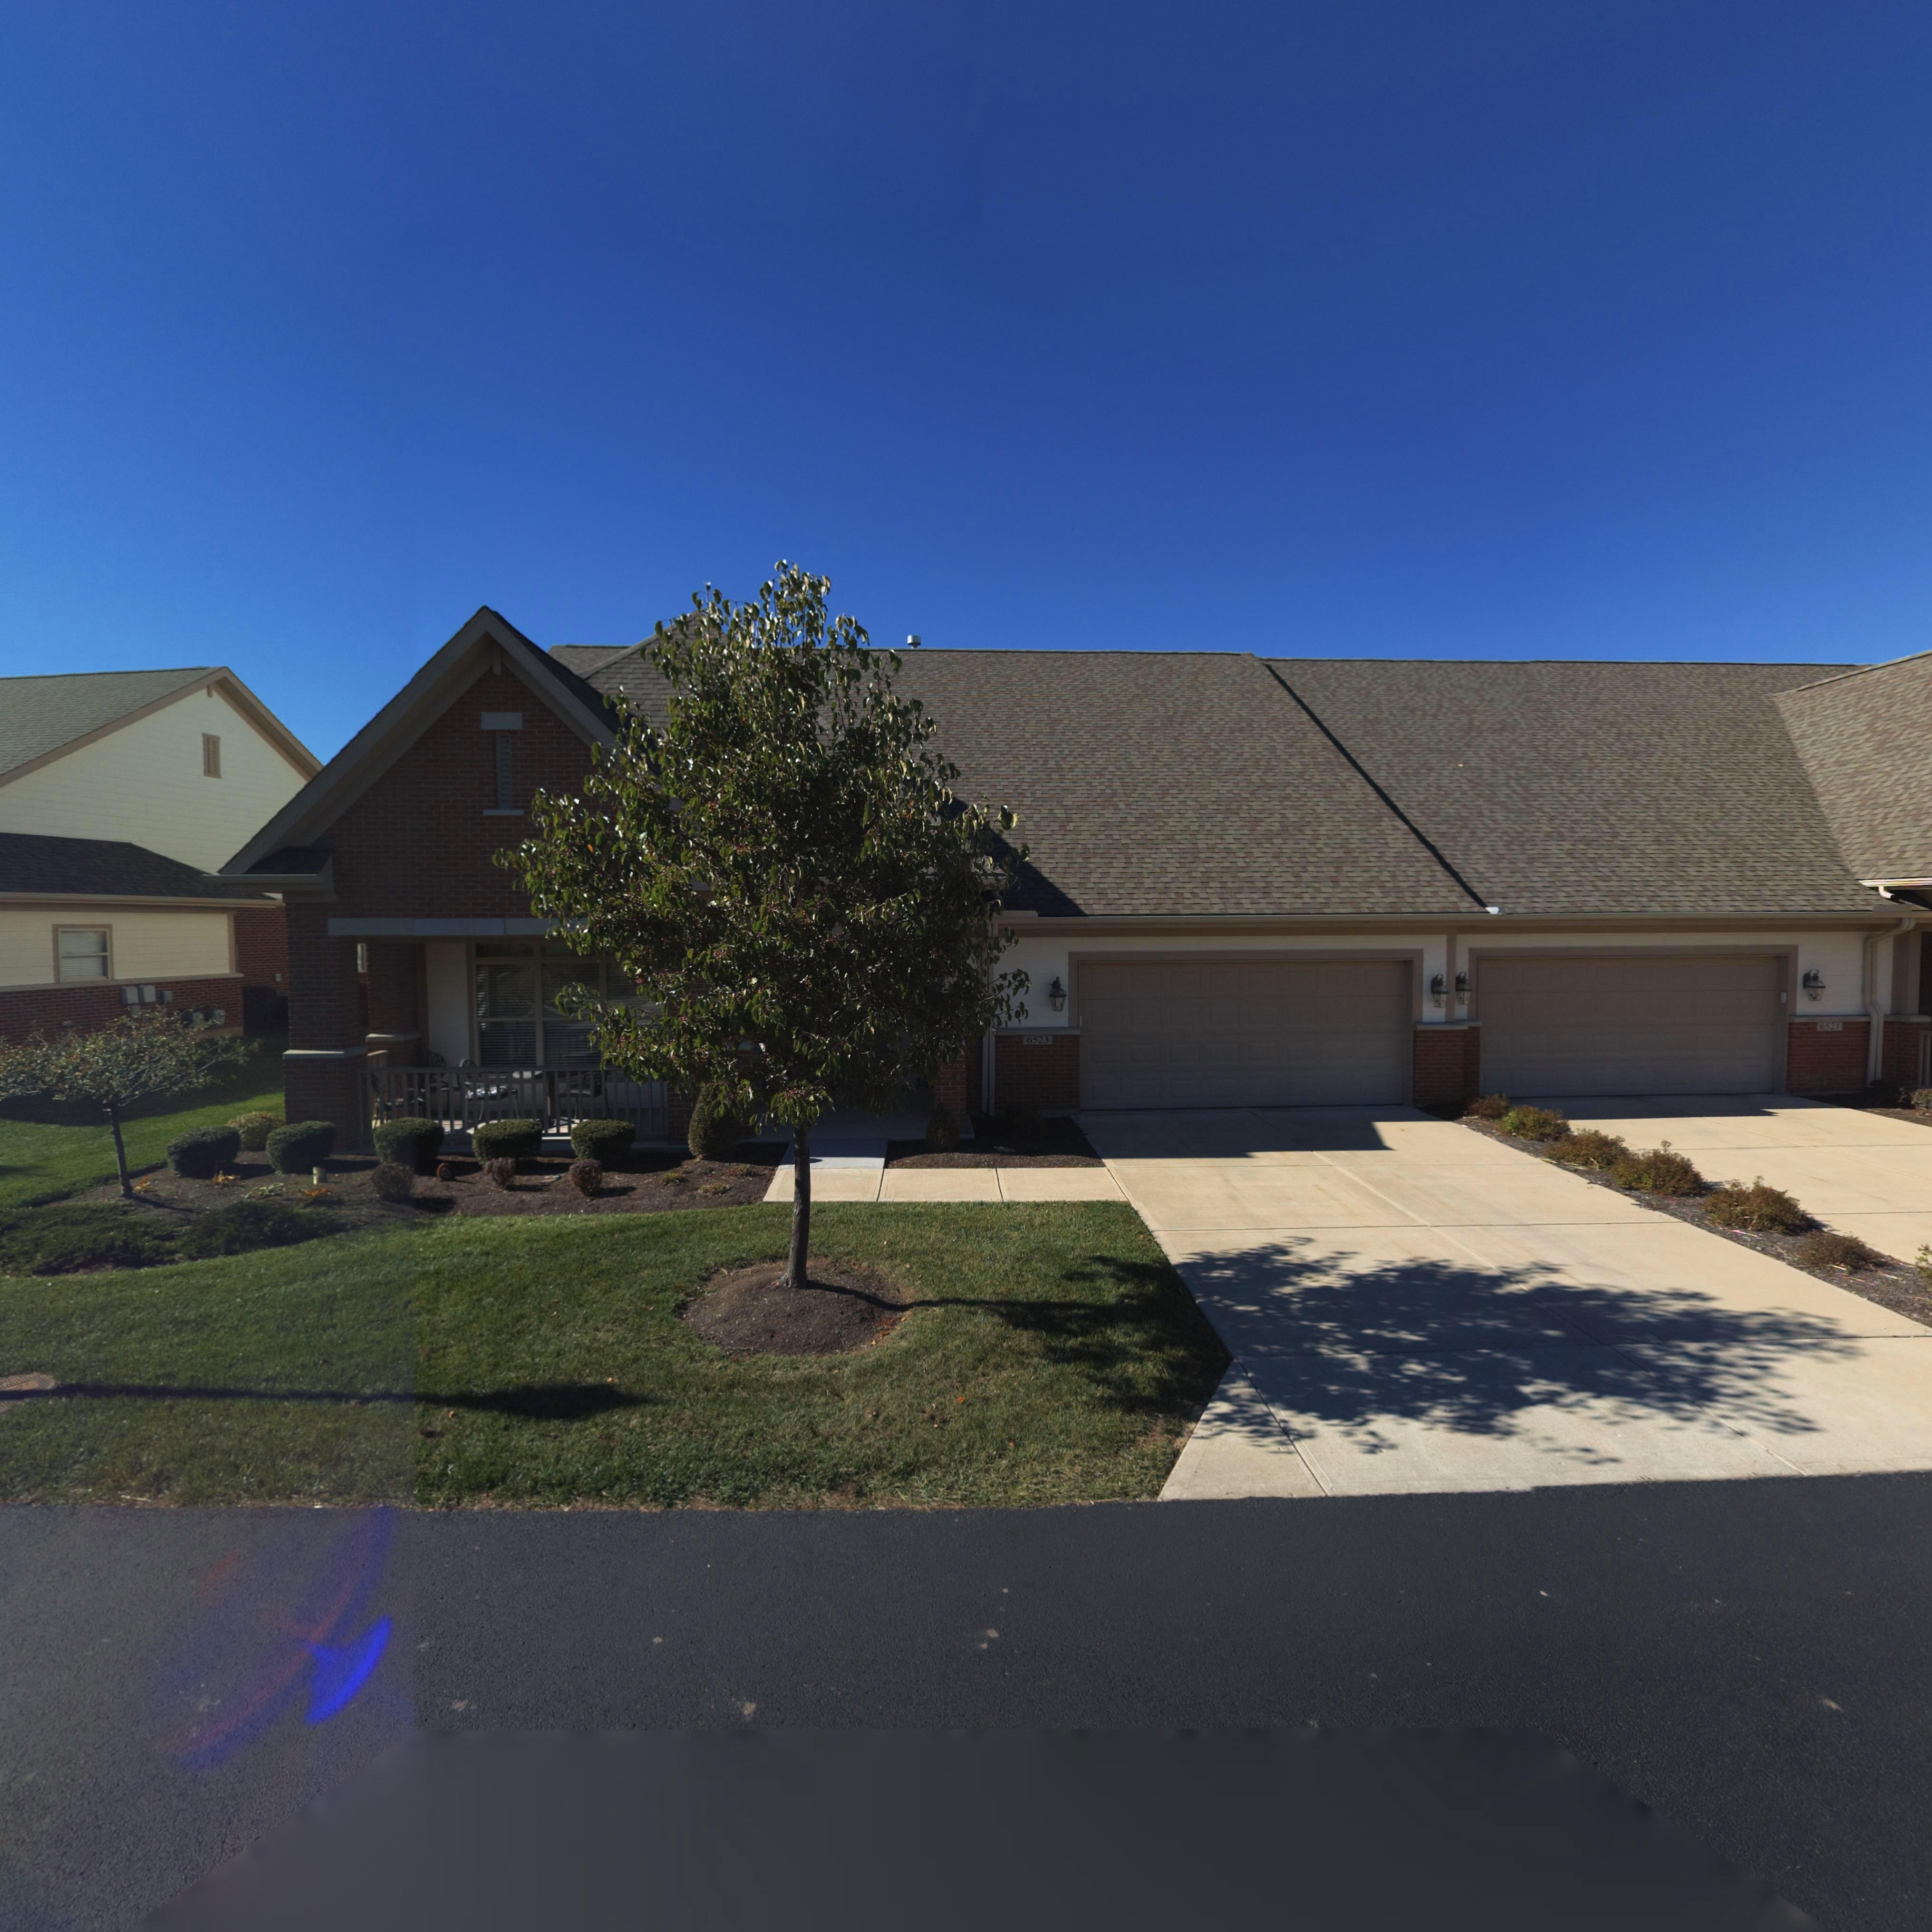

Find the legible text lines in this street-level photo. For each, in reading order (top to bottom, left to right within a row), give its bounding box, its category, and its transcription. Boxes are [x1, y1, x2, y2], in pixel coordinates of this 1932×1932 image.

[1819, 1022, 1840, 1031] StreetNumber: 6521
[1026, 1035, 1049, 1044] StreetNumber: 6523